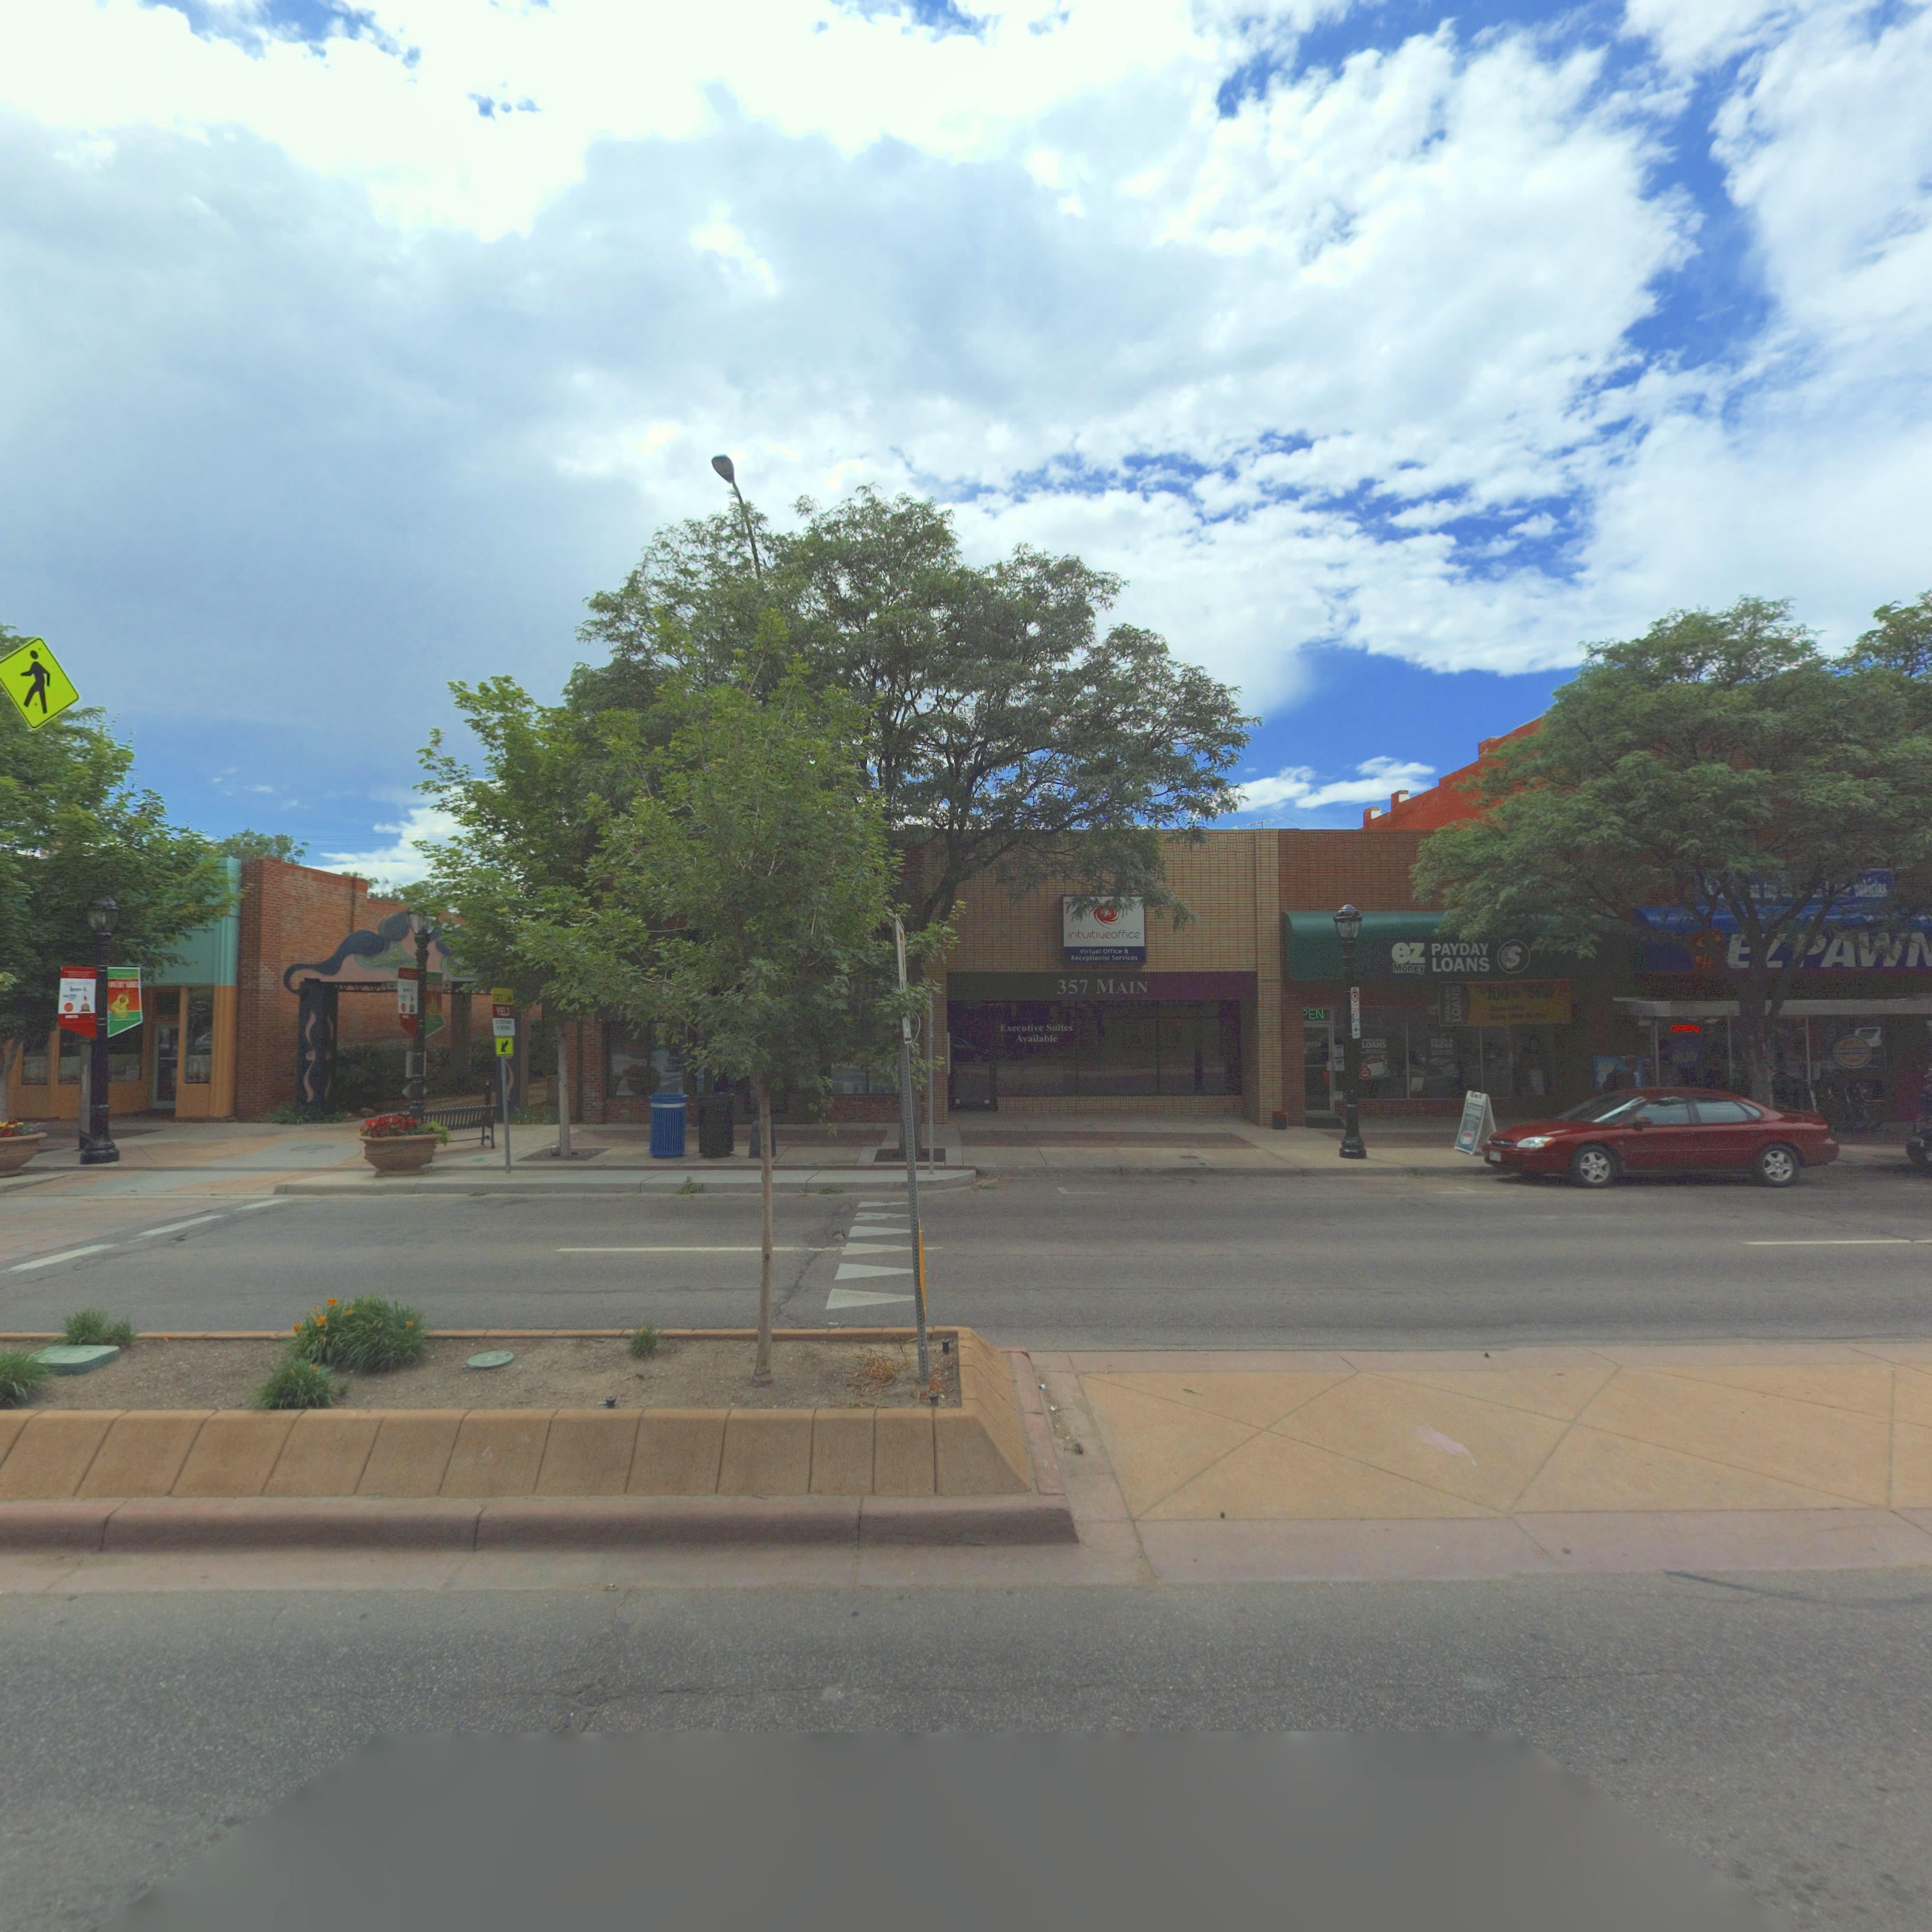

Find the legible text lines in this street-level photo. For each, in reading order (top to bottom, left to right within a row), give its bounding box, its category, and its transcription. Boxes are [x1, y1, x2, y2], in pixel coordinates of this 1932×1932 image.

[1068, 929, 1140, 939] BusinessName: intuitiveoffice
[1390, 941, 1426, 964] BusinessName: ez
[1431, 942, 1490, 956] BusinessName: PAYDAY
[1724, 931, 1928, 968] BusinessName: ** PAW*
[1393, 963, 1426, 975] BusinessName: Money
[1432, 956, 1490, 972] BusinessName: LOANS
[1056, 979, 1089, 995] StreetNumber: 357
[1095, 978, 1148, 994] StreetName: MAIN